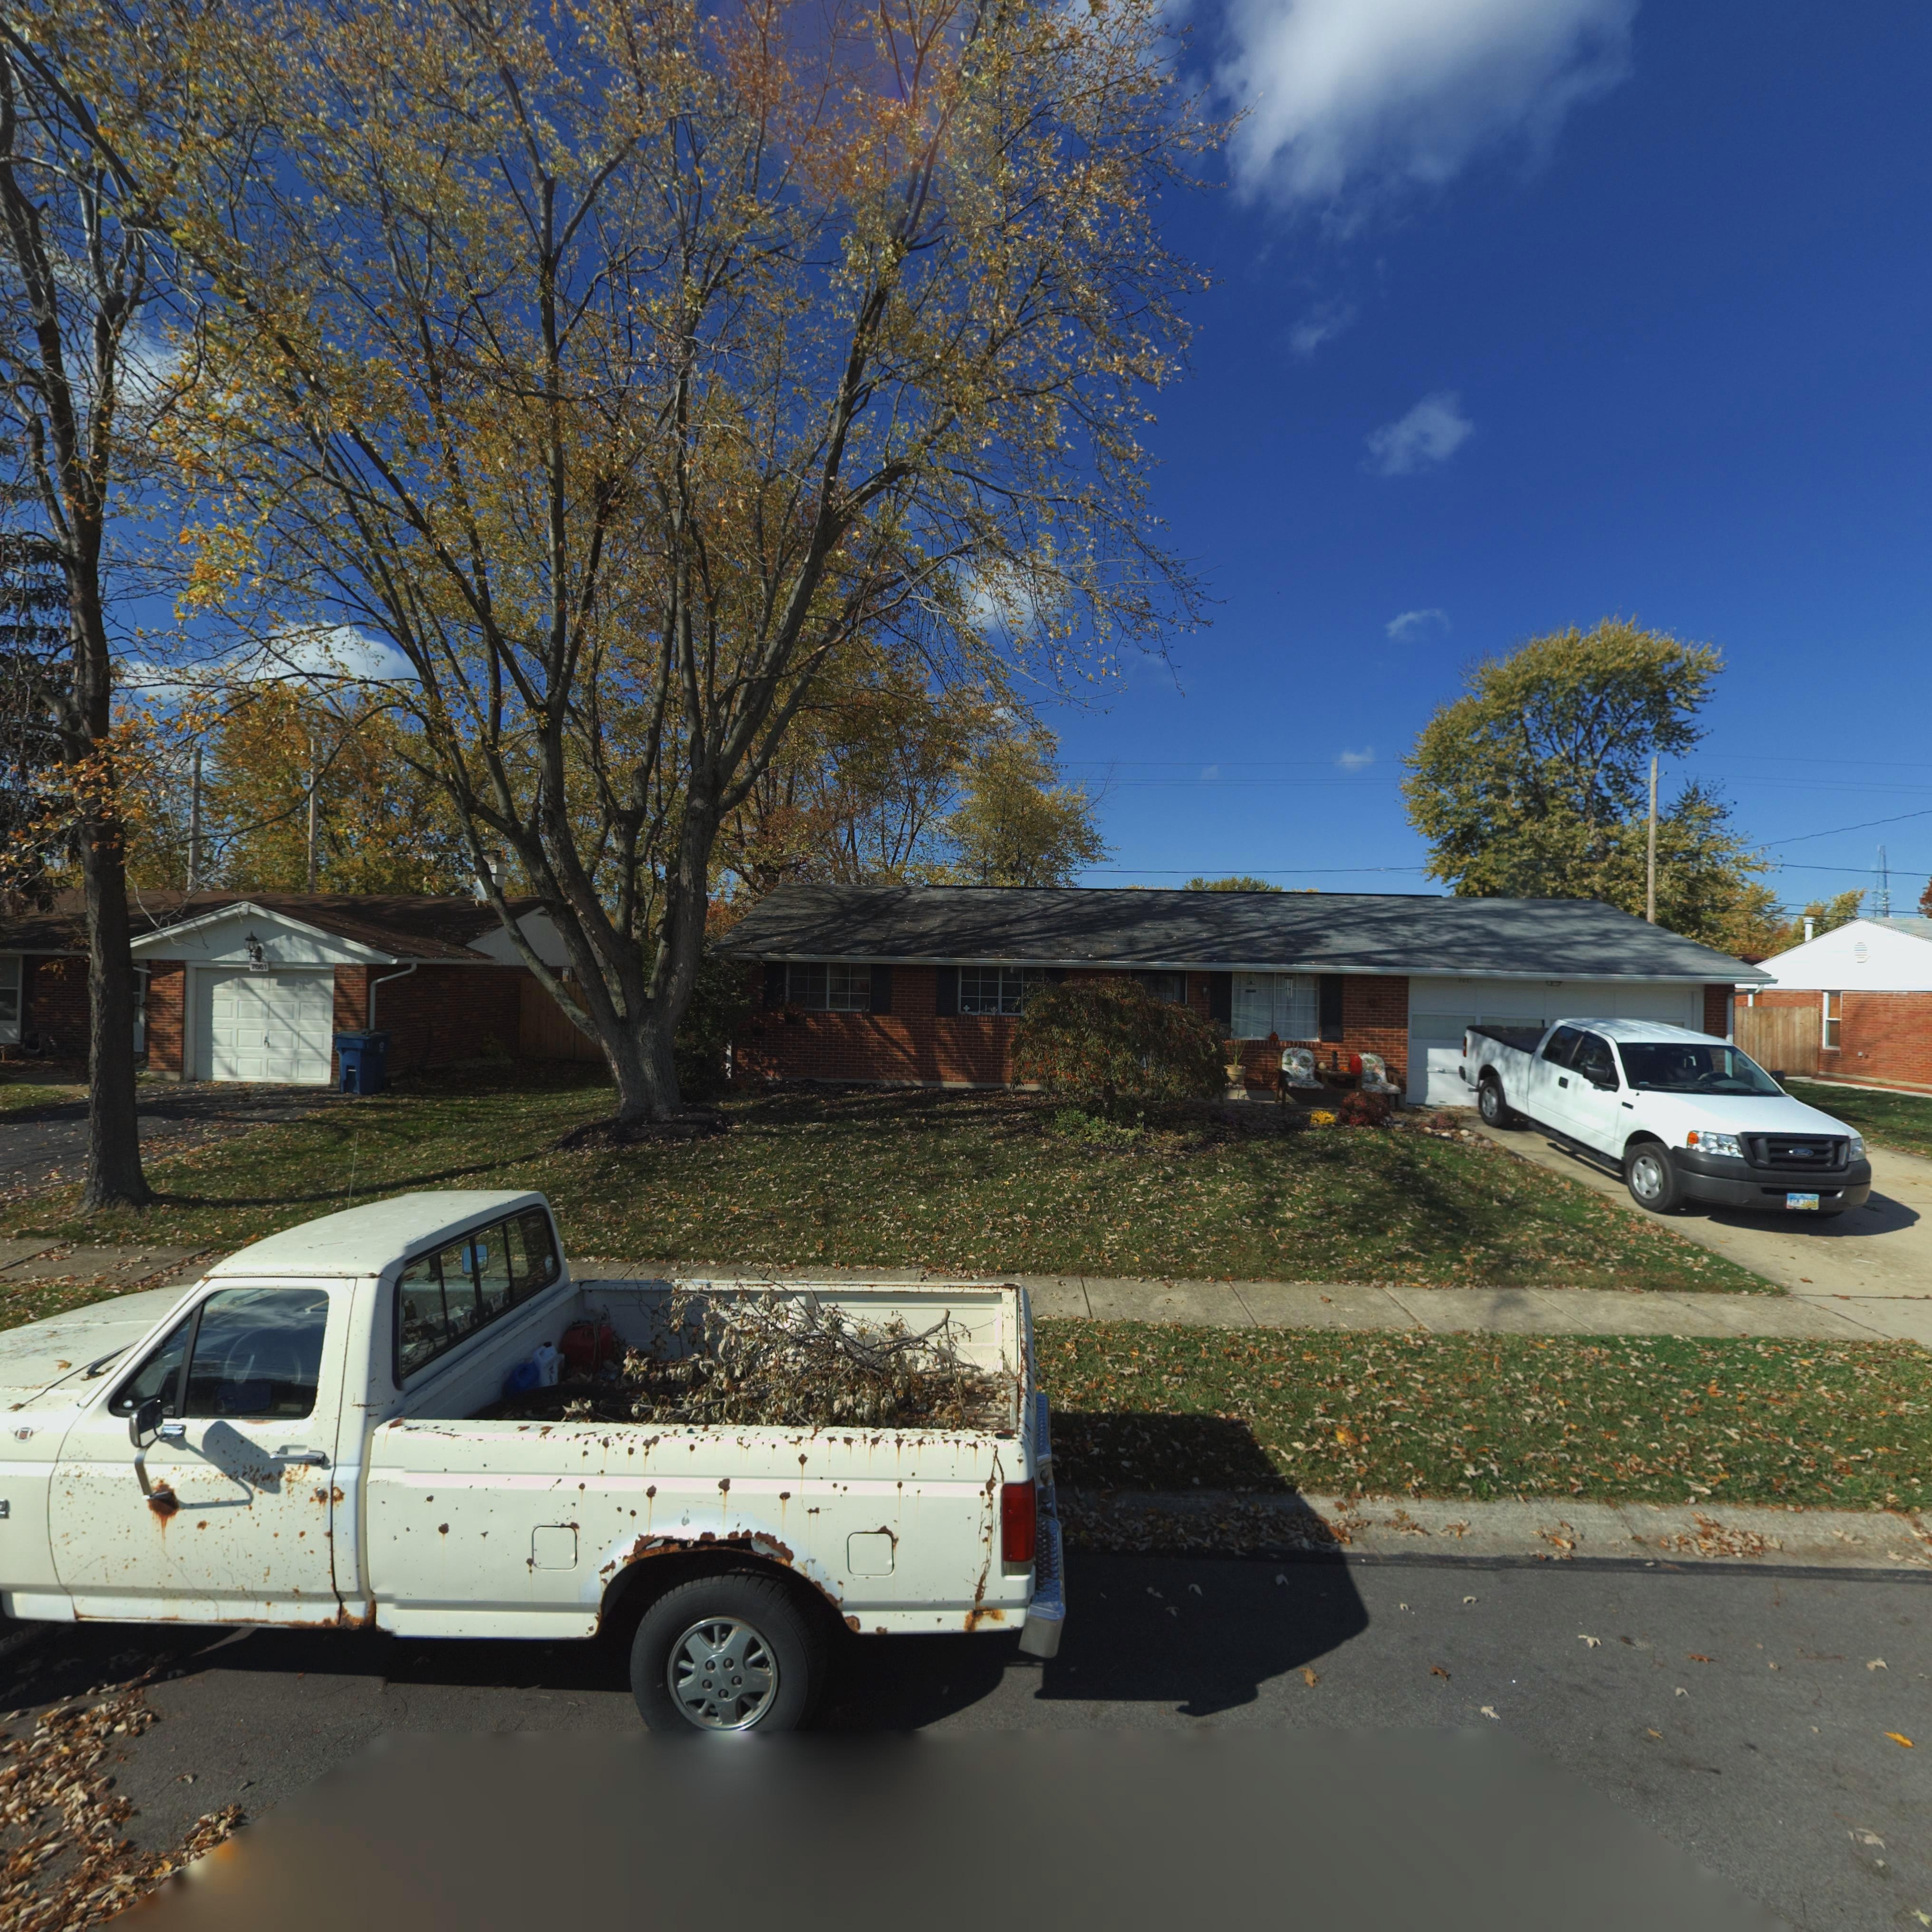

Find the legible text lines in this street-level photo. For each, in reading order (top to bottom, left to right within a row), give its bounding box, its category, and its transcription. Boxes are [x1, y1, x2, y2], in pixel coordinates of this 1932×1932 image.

[250, 963, 268, 971] StreetNumber: 7661